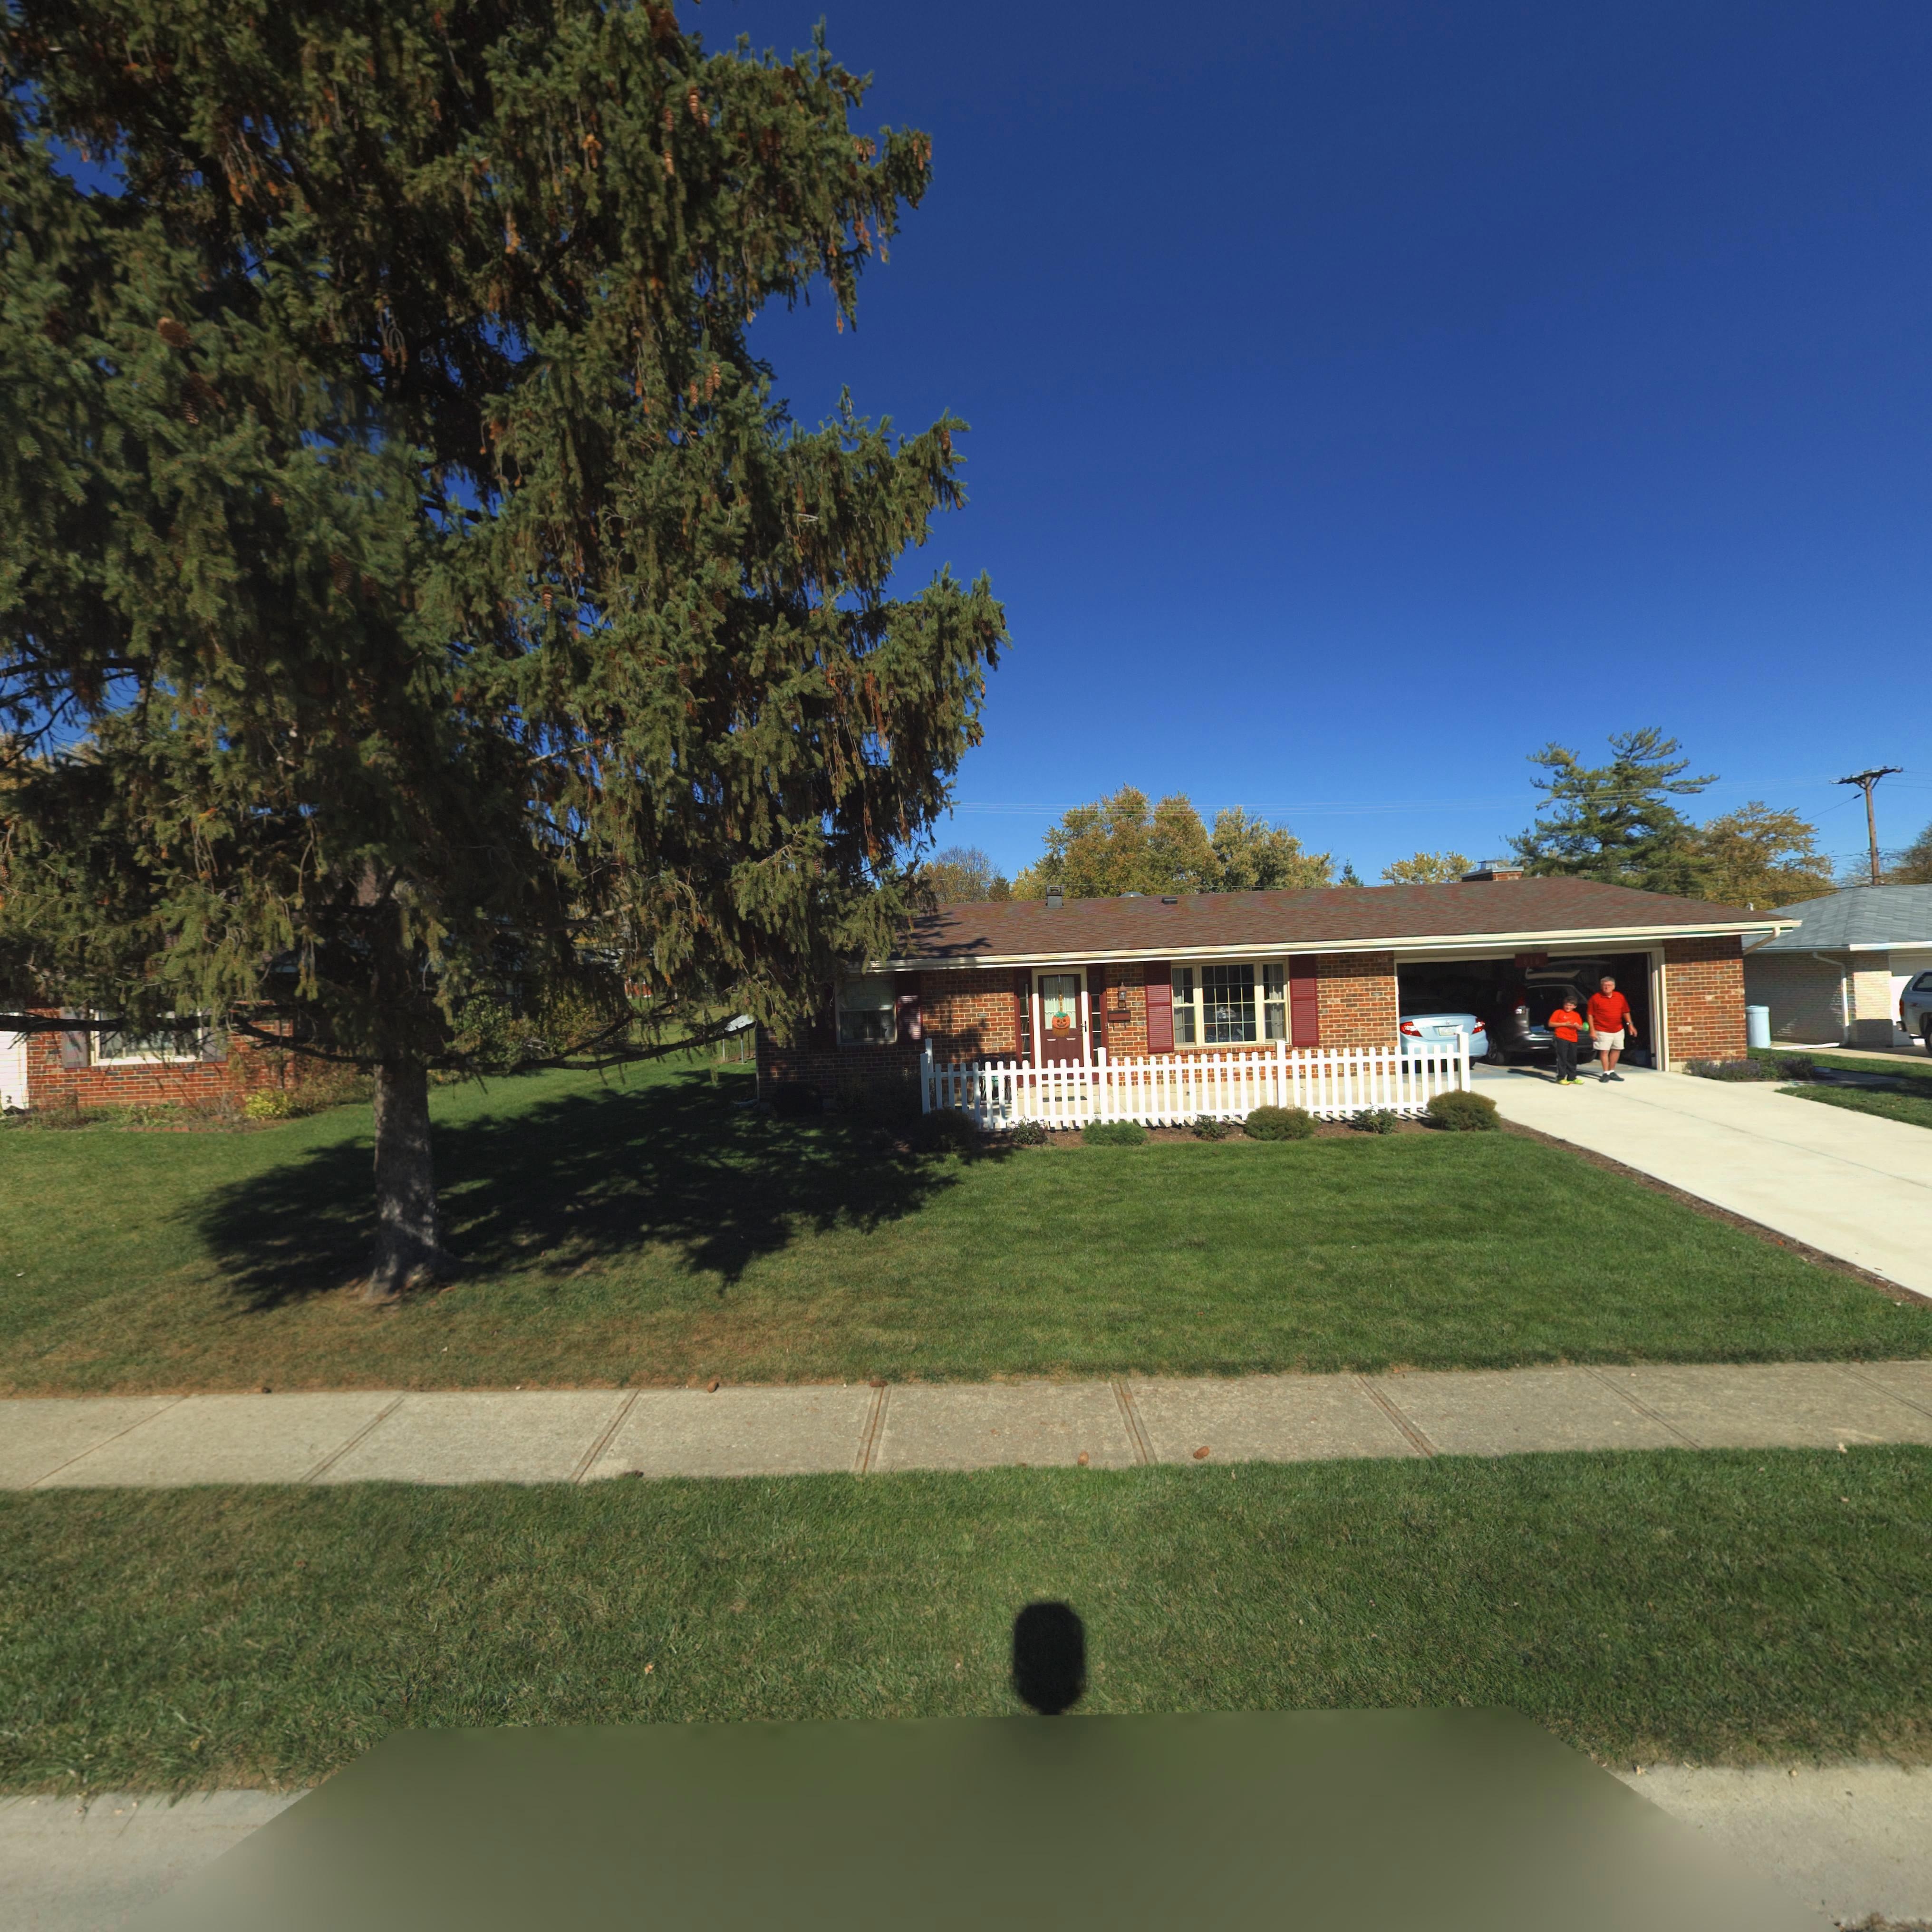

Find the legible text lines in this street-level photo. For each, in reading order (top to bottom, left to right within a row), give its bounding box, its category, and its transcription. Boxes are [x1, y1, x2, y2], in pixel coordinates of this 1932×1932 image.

[1523, 956, 1540, 966] StreetNumber: 816